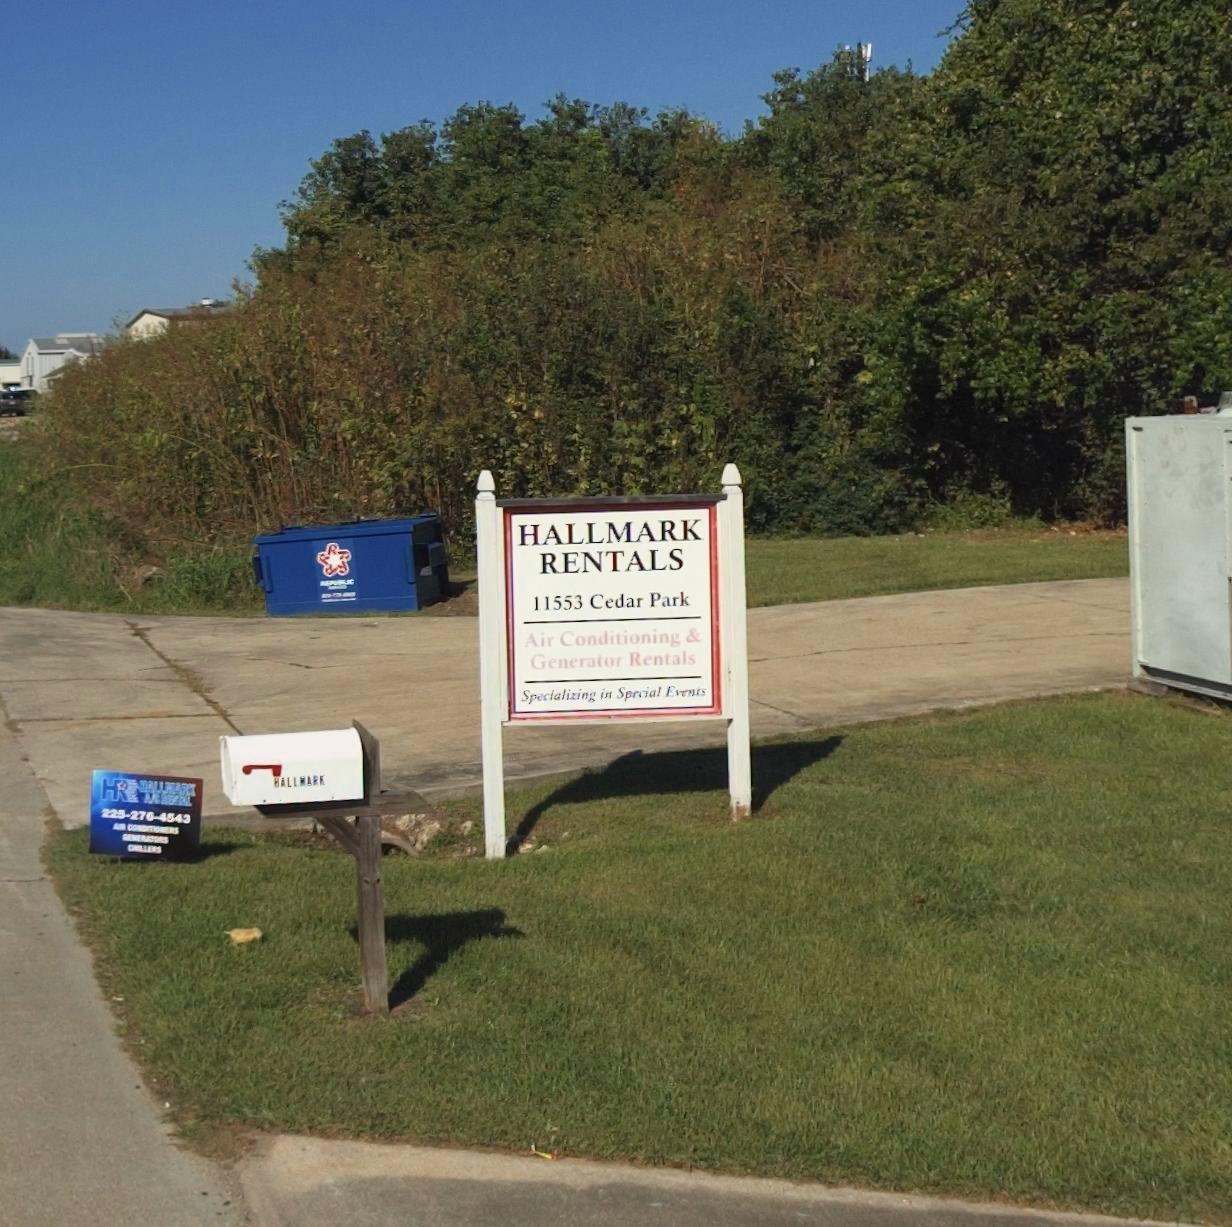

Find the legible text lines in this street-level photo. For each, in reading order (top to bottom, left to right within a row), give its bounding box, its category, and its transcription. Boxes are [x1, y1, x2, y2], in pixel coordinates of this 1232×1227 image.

[515, 516, 708, 548] BusinessName: HALLMARK
[535, 546, 686, 578] BusinessName: RENTALS
[531, 592, 585, 613] StreetNumber: 11553
[587, 588, 694, 613] StreetName: Cedar Park
[521, 625, 685, 651] None: Air Conditioning
[527, 646, 700, 674] None: Generator Rentals
[517, 681, 709, 708] None: Specializing in sp*cial Events
[100, 775, 131, 803] None: HR
[271, 772, 327, 791] BusinessName: HALLMARK
[97, 805, 194, 827] None: 225-270-4543